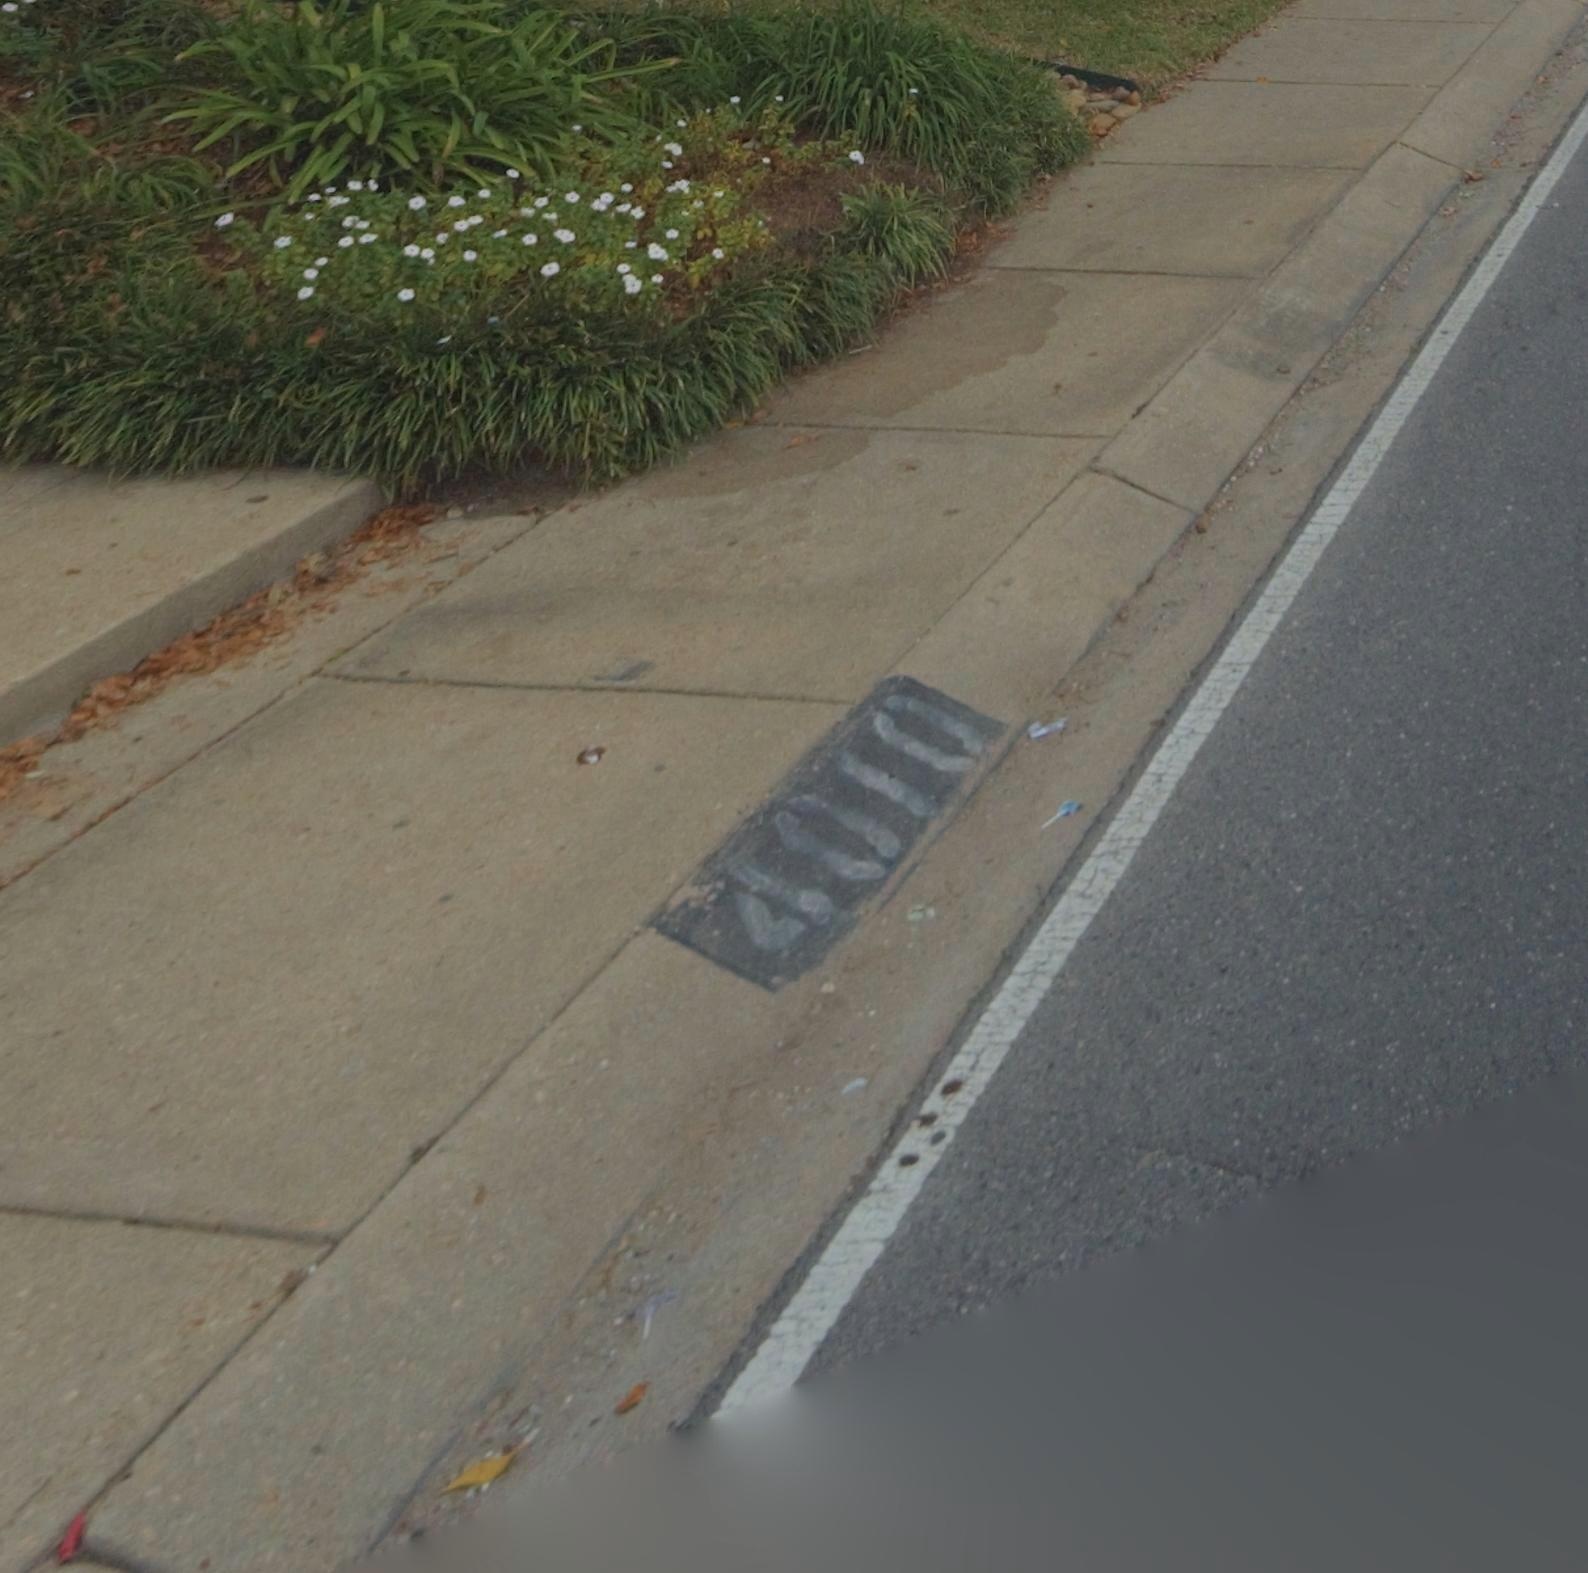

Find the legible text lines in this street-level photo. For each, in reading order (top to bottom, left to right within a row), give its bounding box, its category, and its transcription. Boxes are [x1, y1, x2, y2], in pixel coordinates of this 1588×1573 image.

[720, 686, 998, 961] StreetNumber: 4010